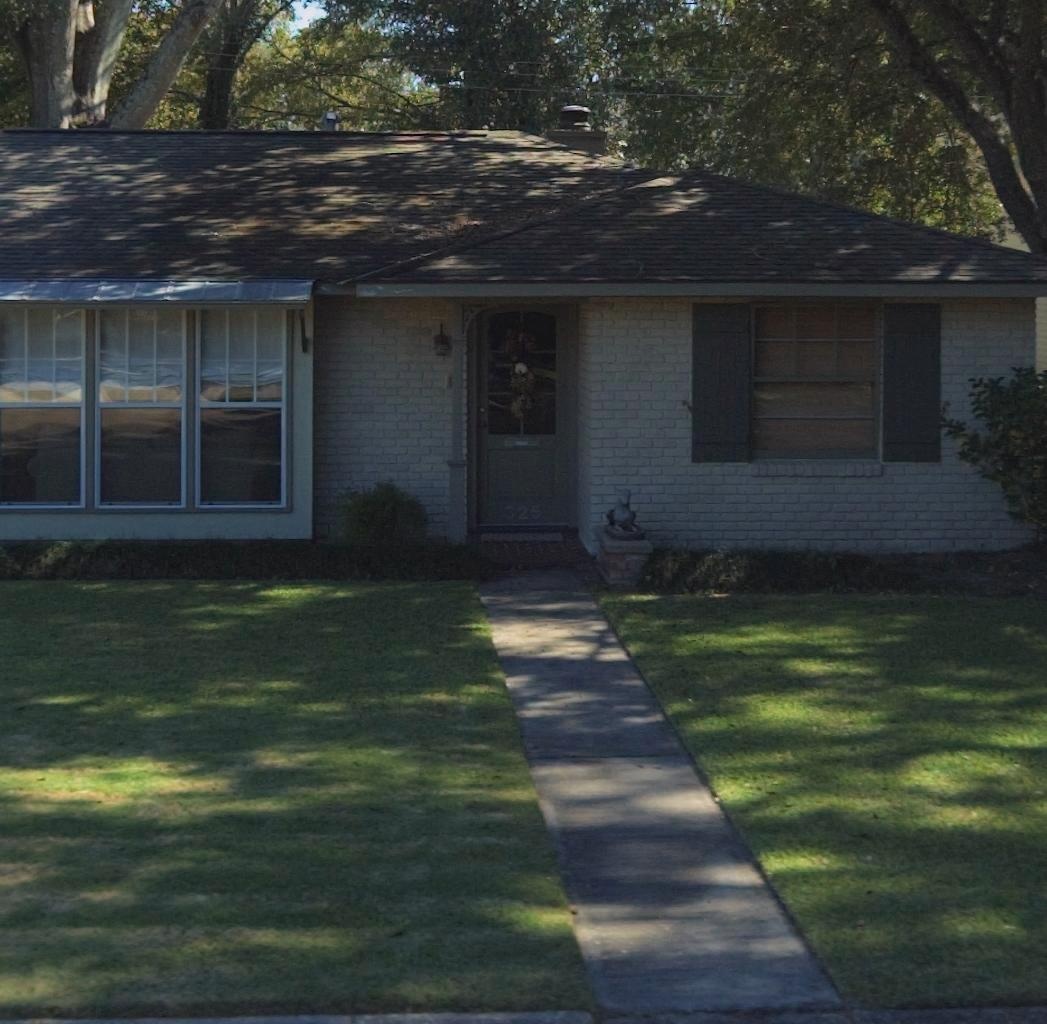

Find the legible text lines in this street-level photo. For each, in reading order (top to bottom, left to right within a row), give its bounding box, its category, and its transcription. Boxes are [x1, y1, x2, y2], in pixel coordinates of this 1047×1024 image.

[502, 504, 543, 522] StreetNumber: 325